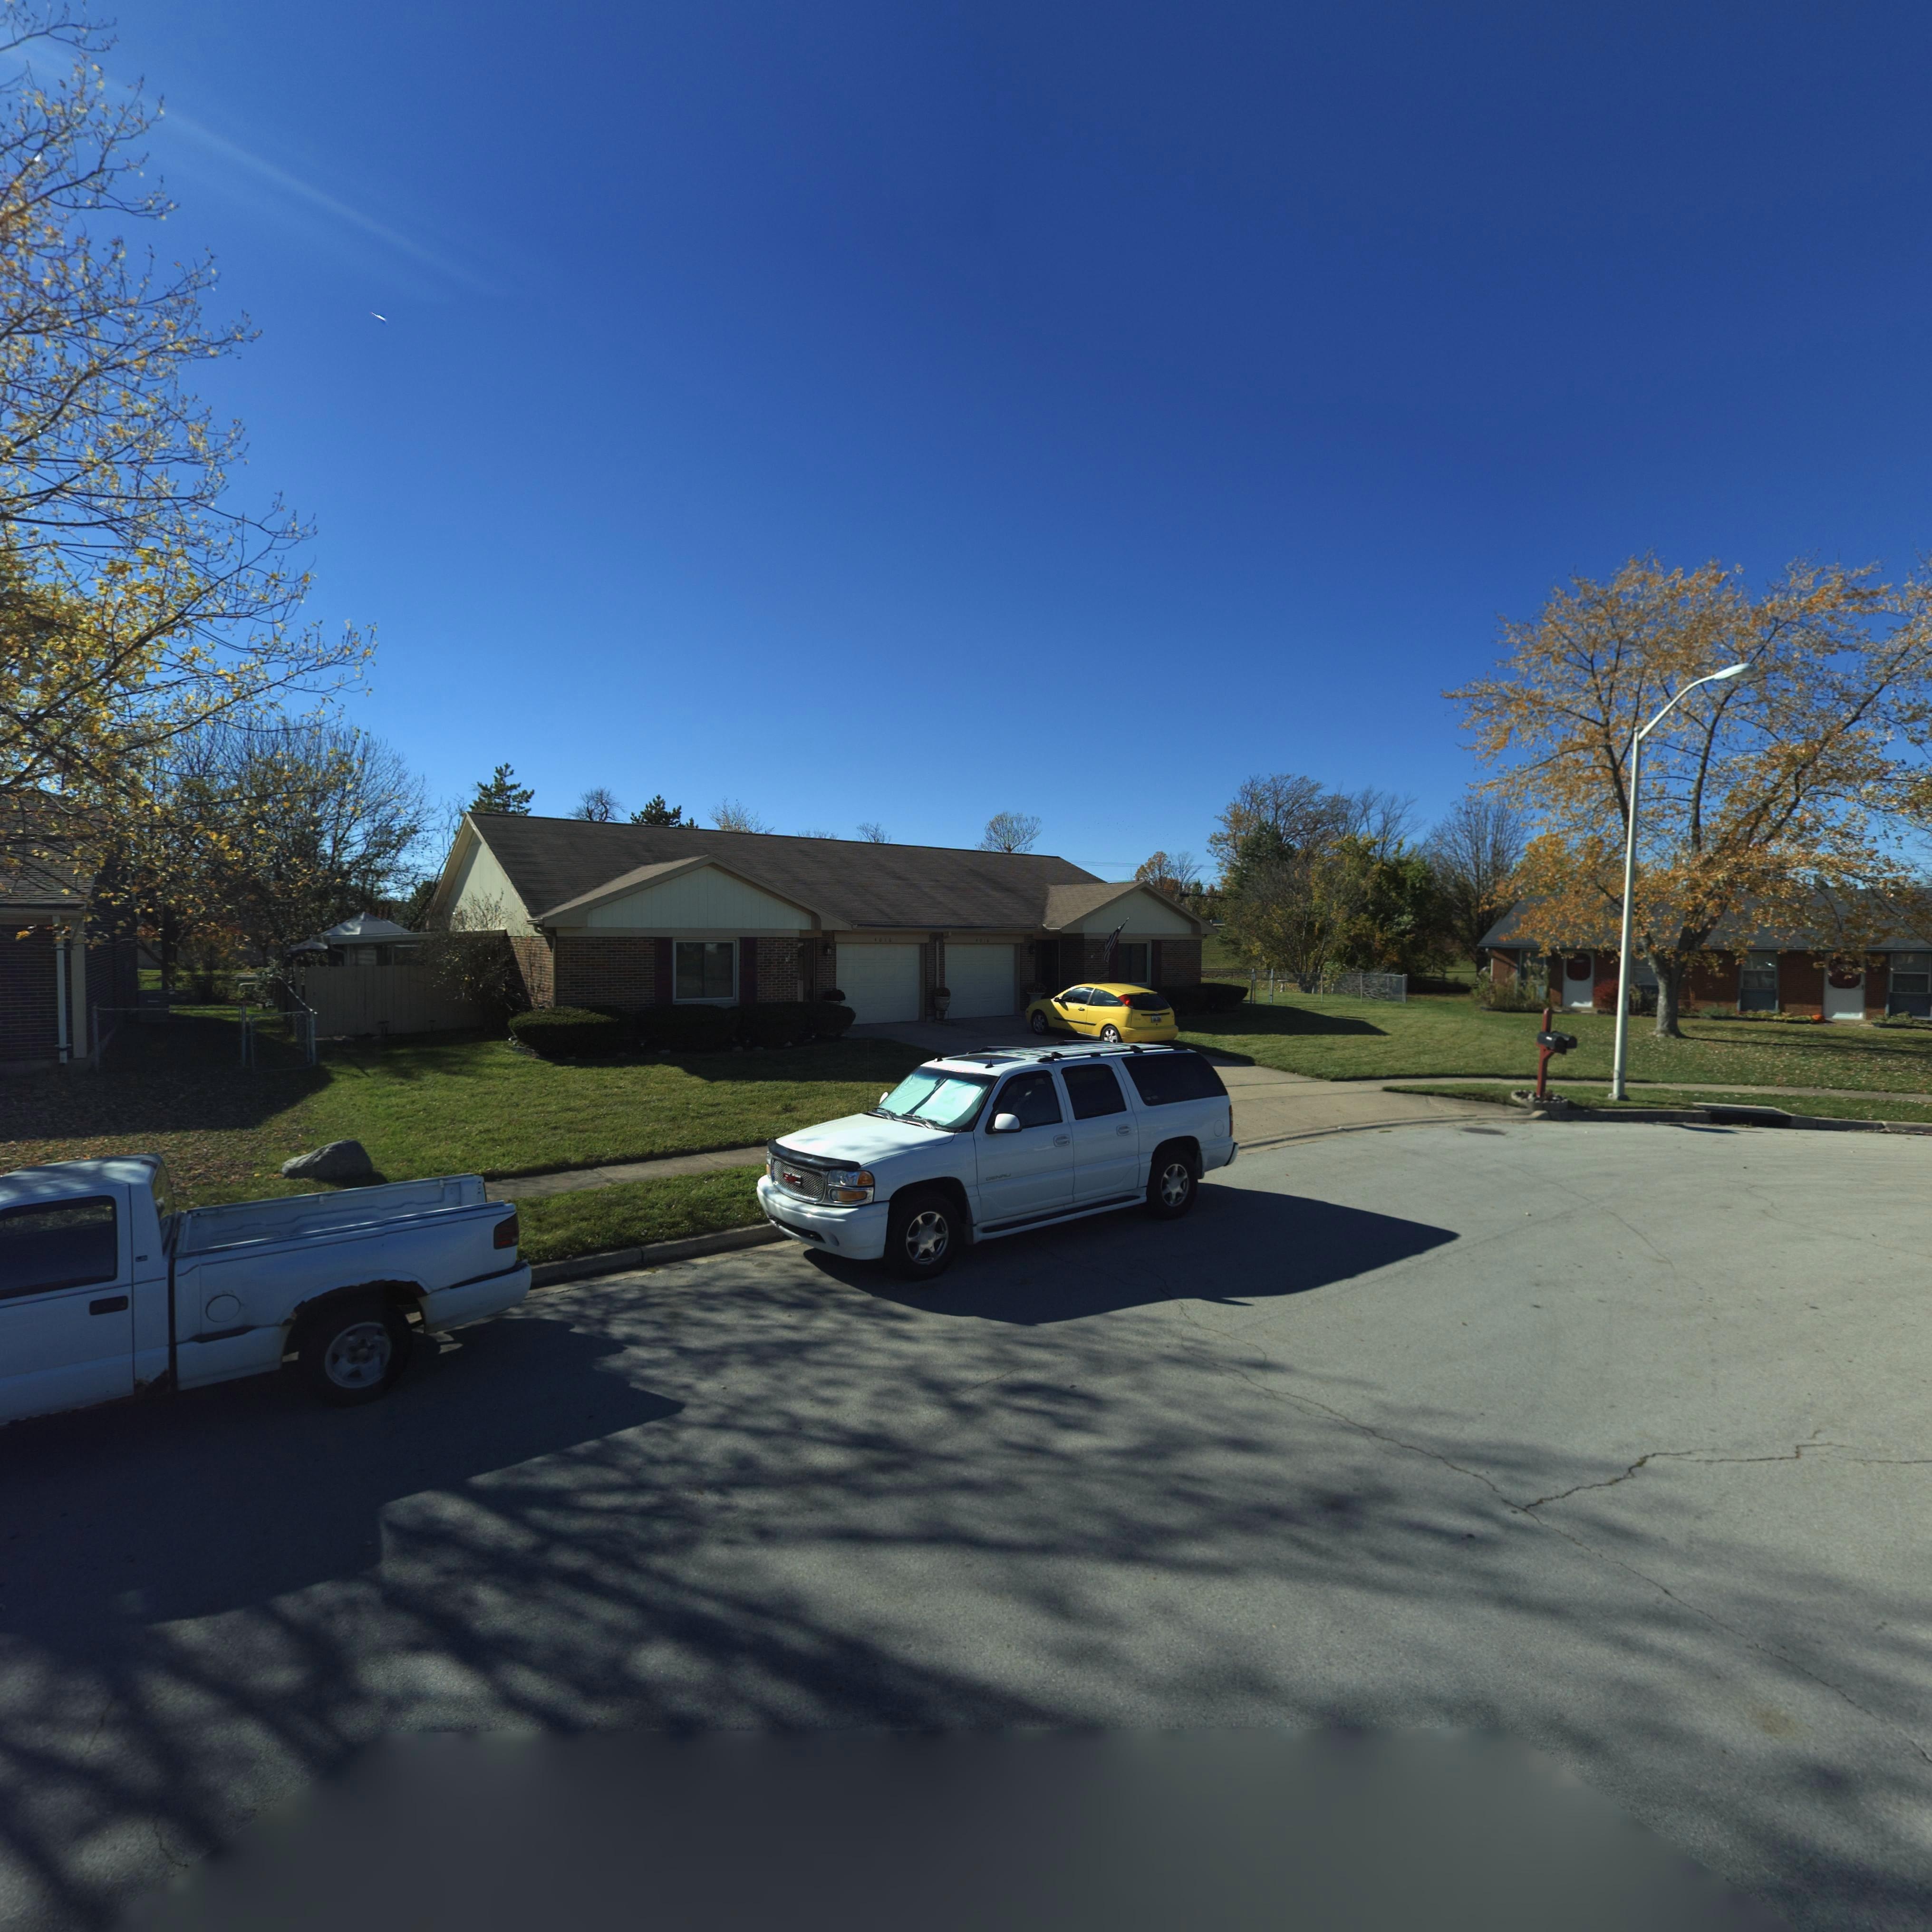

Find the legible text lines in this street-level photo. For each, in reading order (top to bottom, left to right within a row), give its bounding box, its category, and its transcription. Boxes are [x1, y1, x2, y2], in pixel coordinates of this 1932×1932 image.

[873, 937, 892, 943] StreetNumber: 4016
[975, 938, 990, 943] StreetNumber: 4018